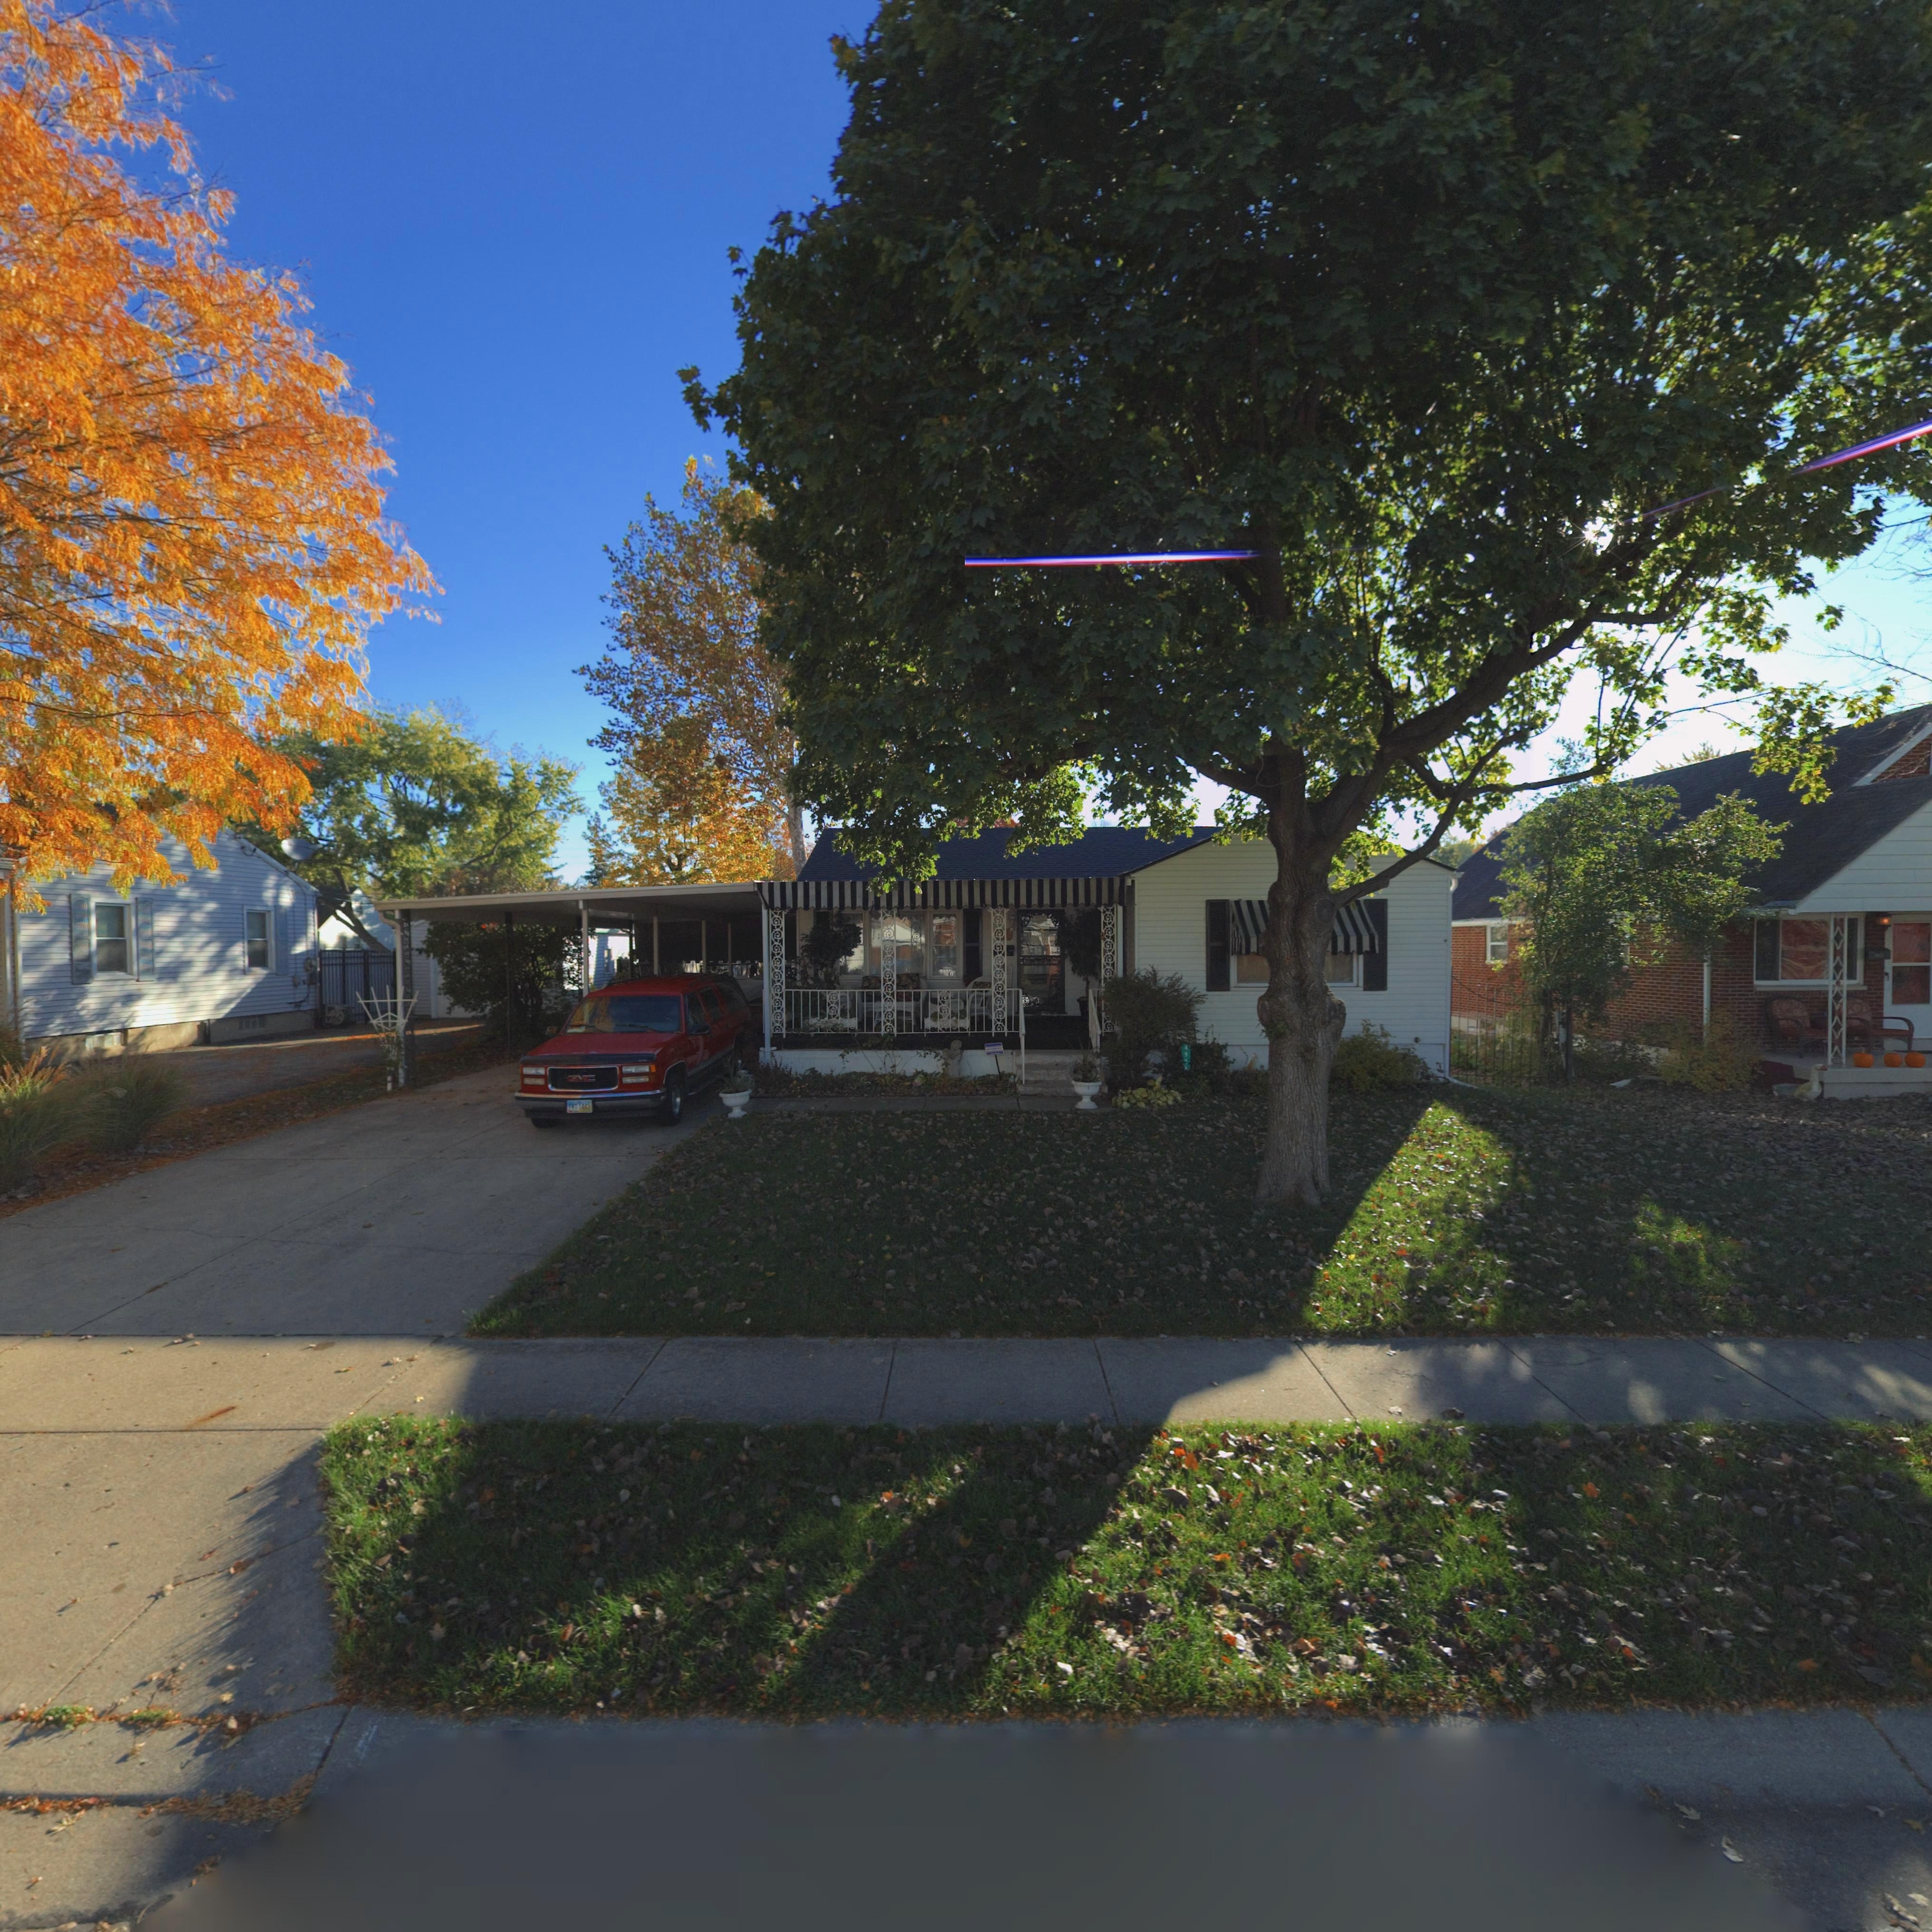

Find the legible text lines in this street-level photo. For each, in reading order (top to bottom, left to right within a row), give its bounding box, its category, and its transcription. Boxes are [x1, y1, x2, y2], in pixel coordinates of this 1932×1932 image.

[1183, 1044, 1189, 1058] StreetNumber: 49